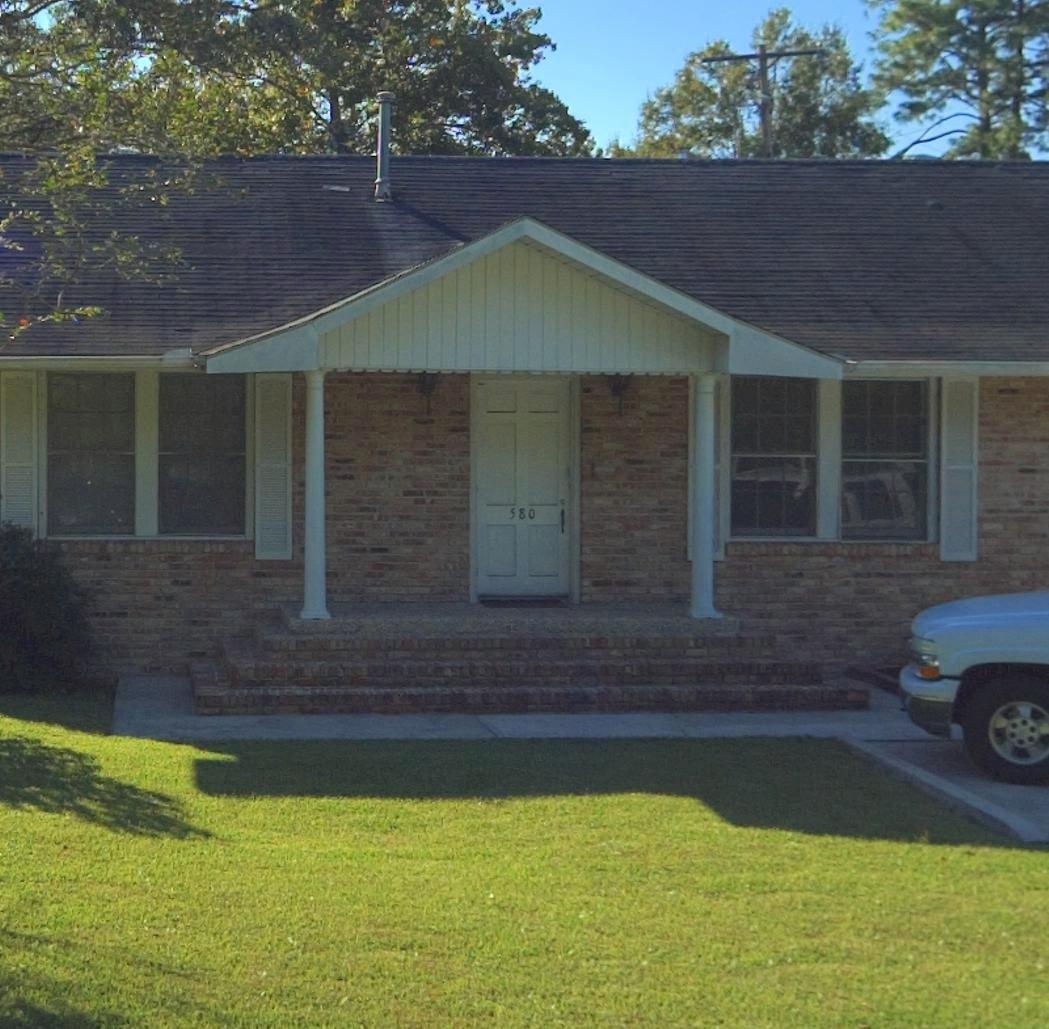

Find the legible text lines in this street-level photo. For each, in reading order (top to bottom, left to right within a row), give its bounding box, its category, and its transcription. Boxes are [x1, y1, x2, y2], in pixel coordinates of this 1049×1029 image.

[509, 506, 537, 521] StreetNumber: 580